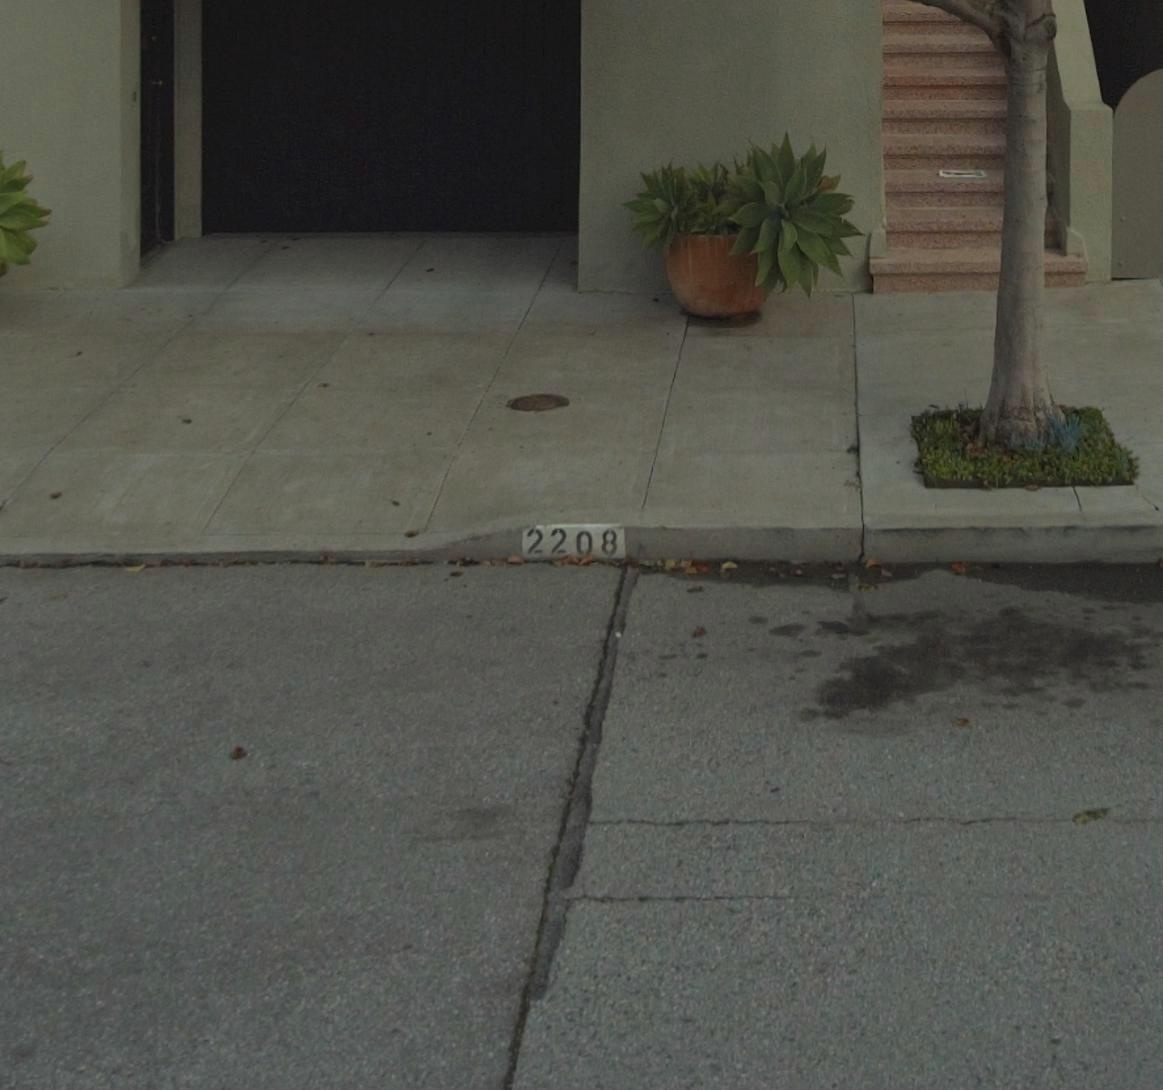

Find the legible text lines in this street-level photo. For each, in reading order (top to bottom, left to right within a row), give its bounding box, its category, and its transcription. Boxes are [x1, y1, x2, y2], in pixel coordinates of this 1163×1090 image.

[525, 525, 620, 557] StreetNumber: 2208